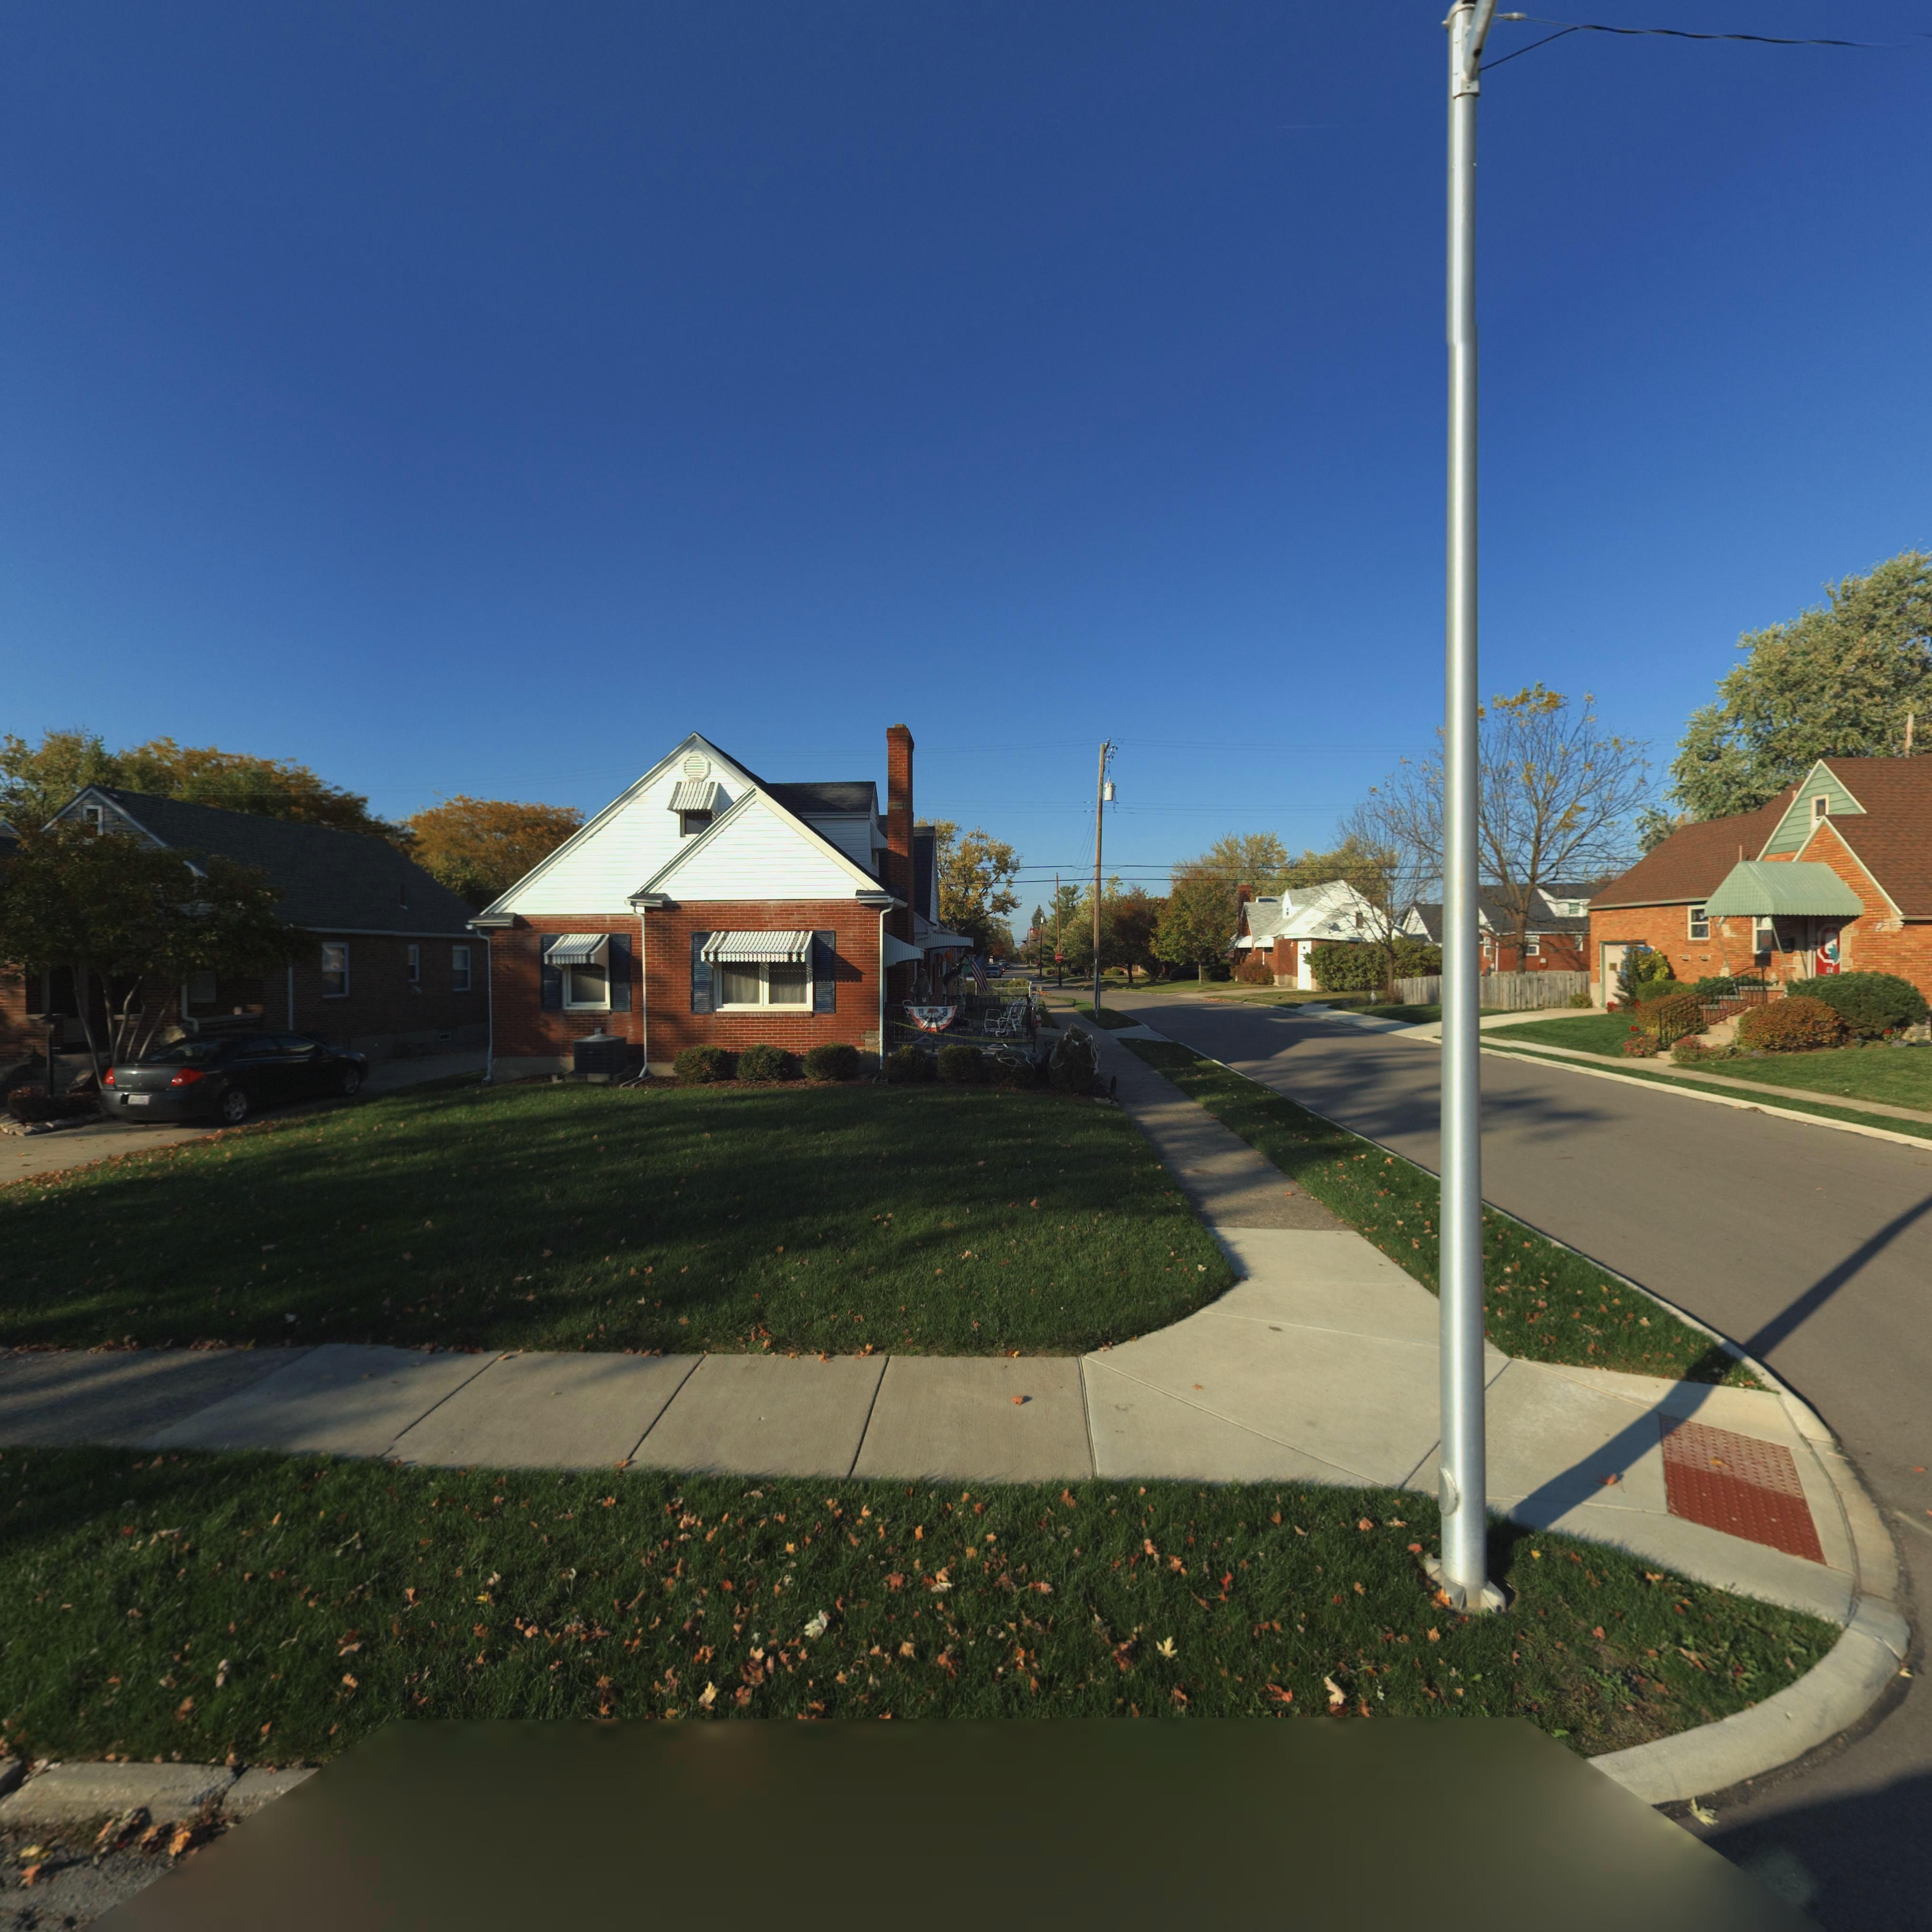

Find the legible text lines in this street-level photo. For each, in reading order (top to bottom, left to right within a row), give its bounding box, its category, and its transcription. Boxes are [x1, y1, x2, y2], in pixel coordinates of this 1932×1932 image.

[1826, 966, 1834, 974] StreetNumber: 6*4